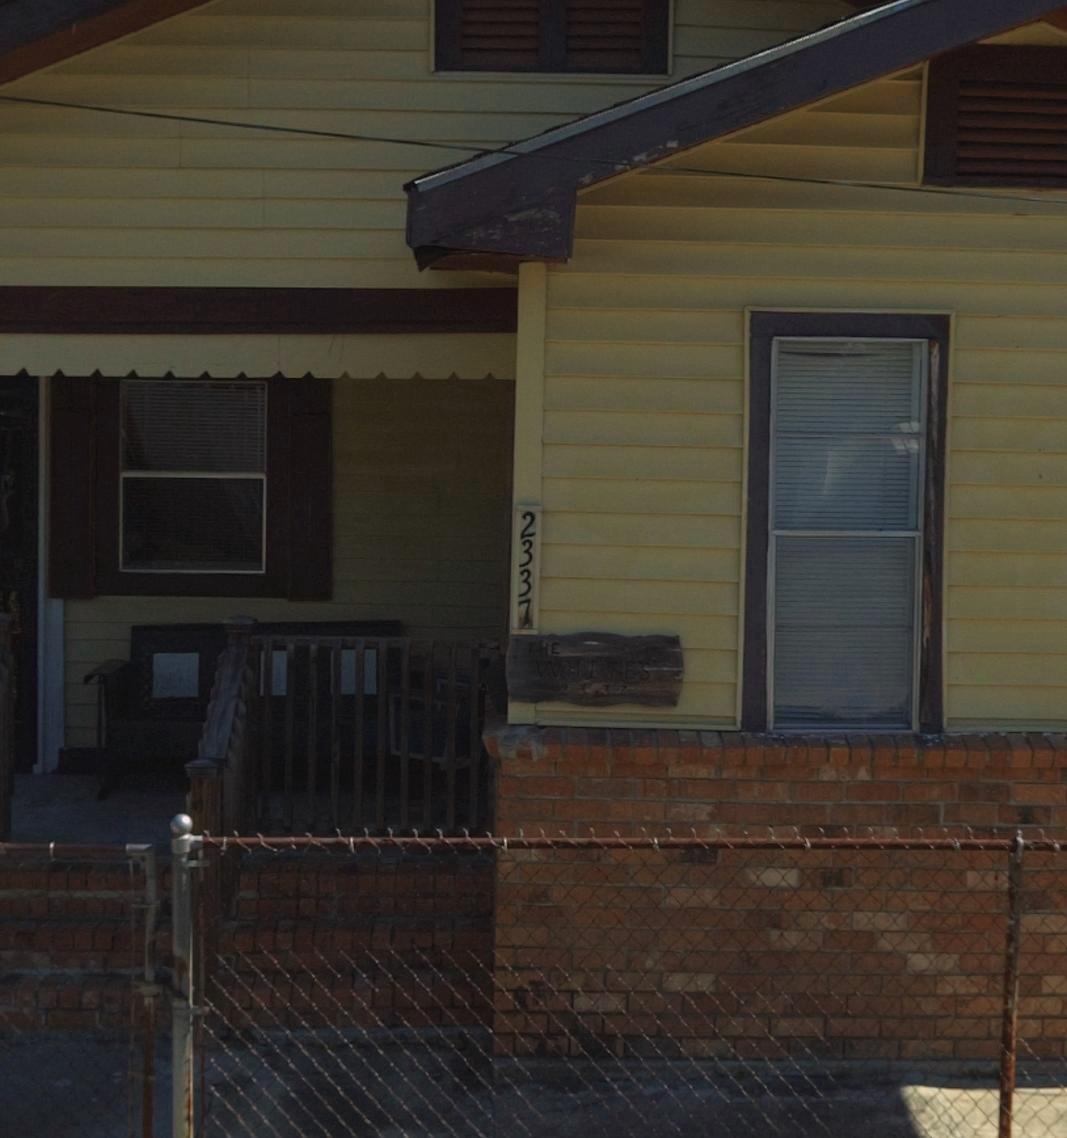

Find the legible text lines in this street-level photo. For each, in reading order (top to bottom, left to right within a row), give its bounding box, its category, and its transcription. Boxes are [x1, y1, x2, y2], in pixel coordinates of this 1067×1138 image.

[516, 509, 538, 627] StreetNumber: 2337
[523, 640, 561, 657] None: THE
[533, 658, 652, 682] None: WHITES
[558, 682, 631, 698] StreetNumber: 2337